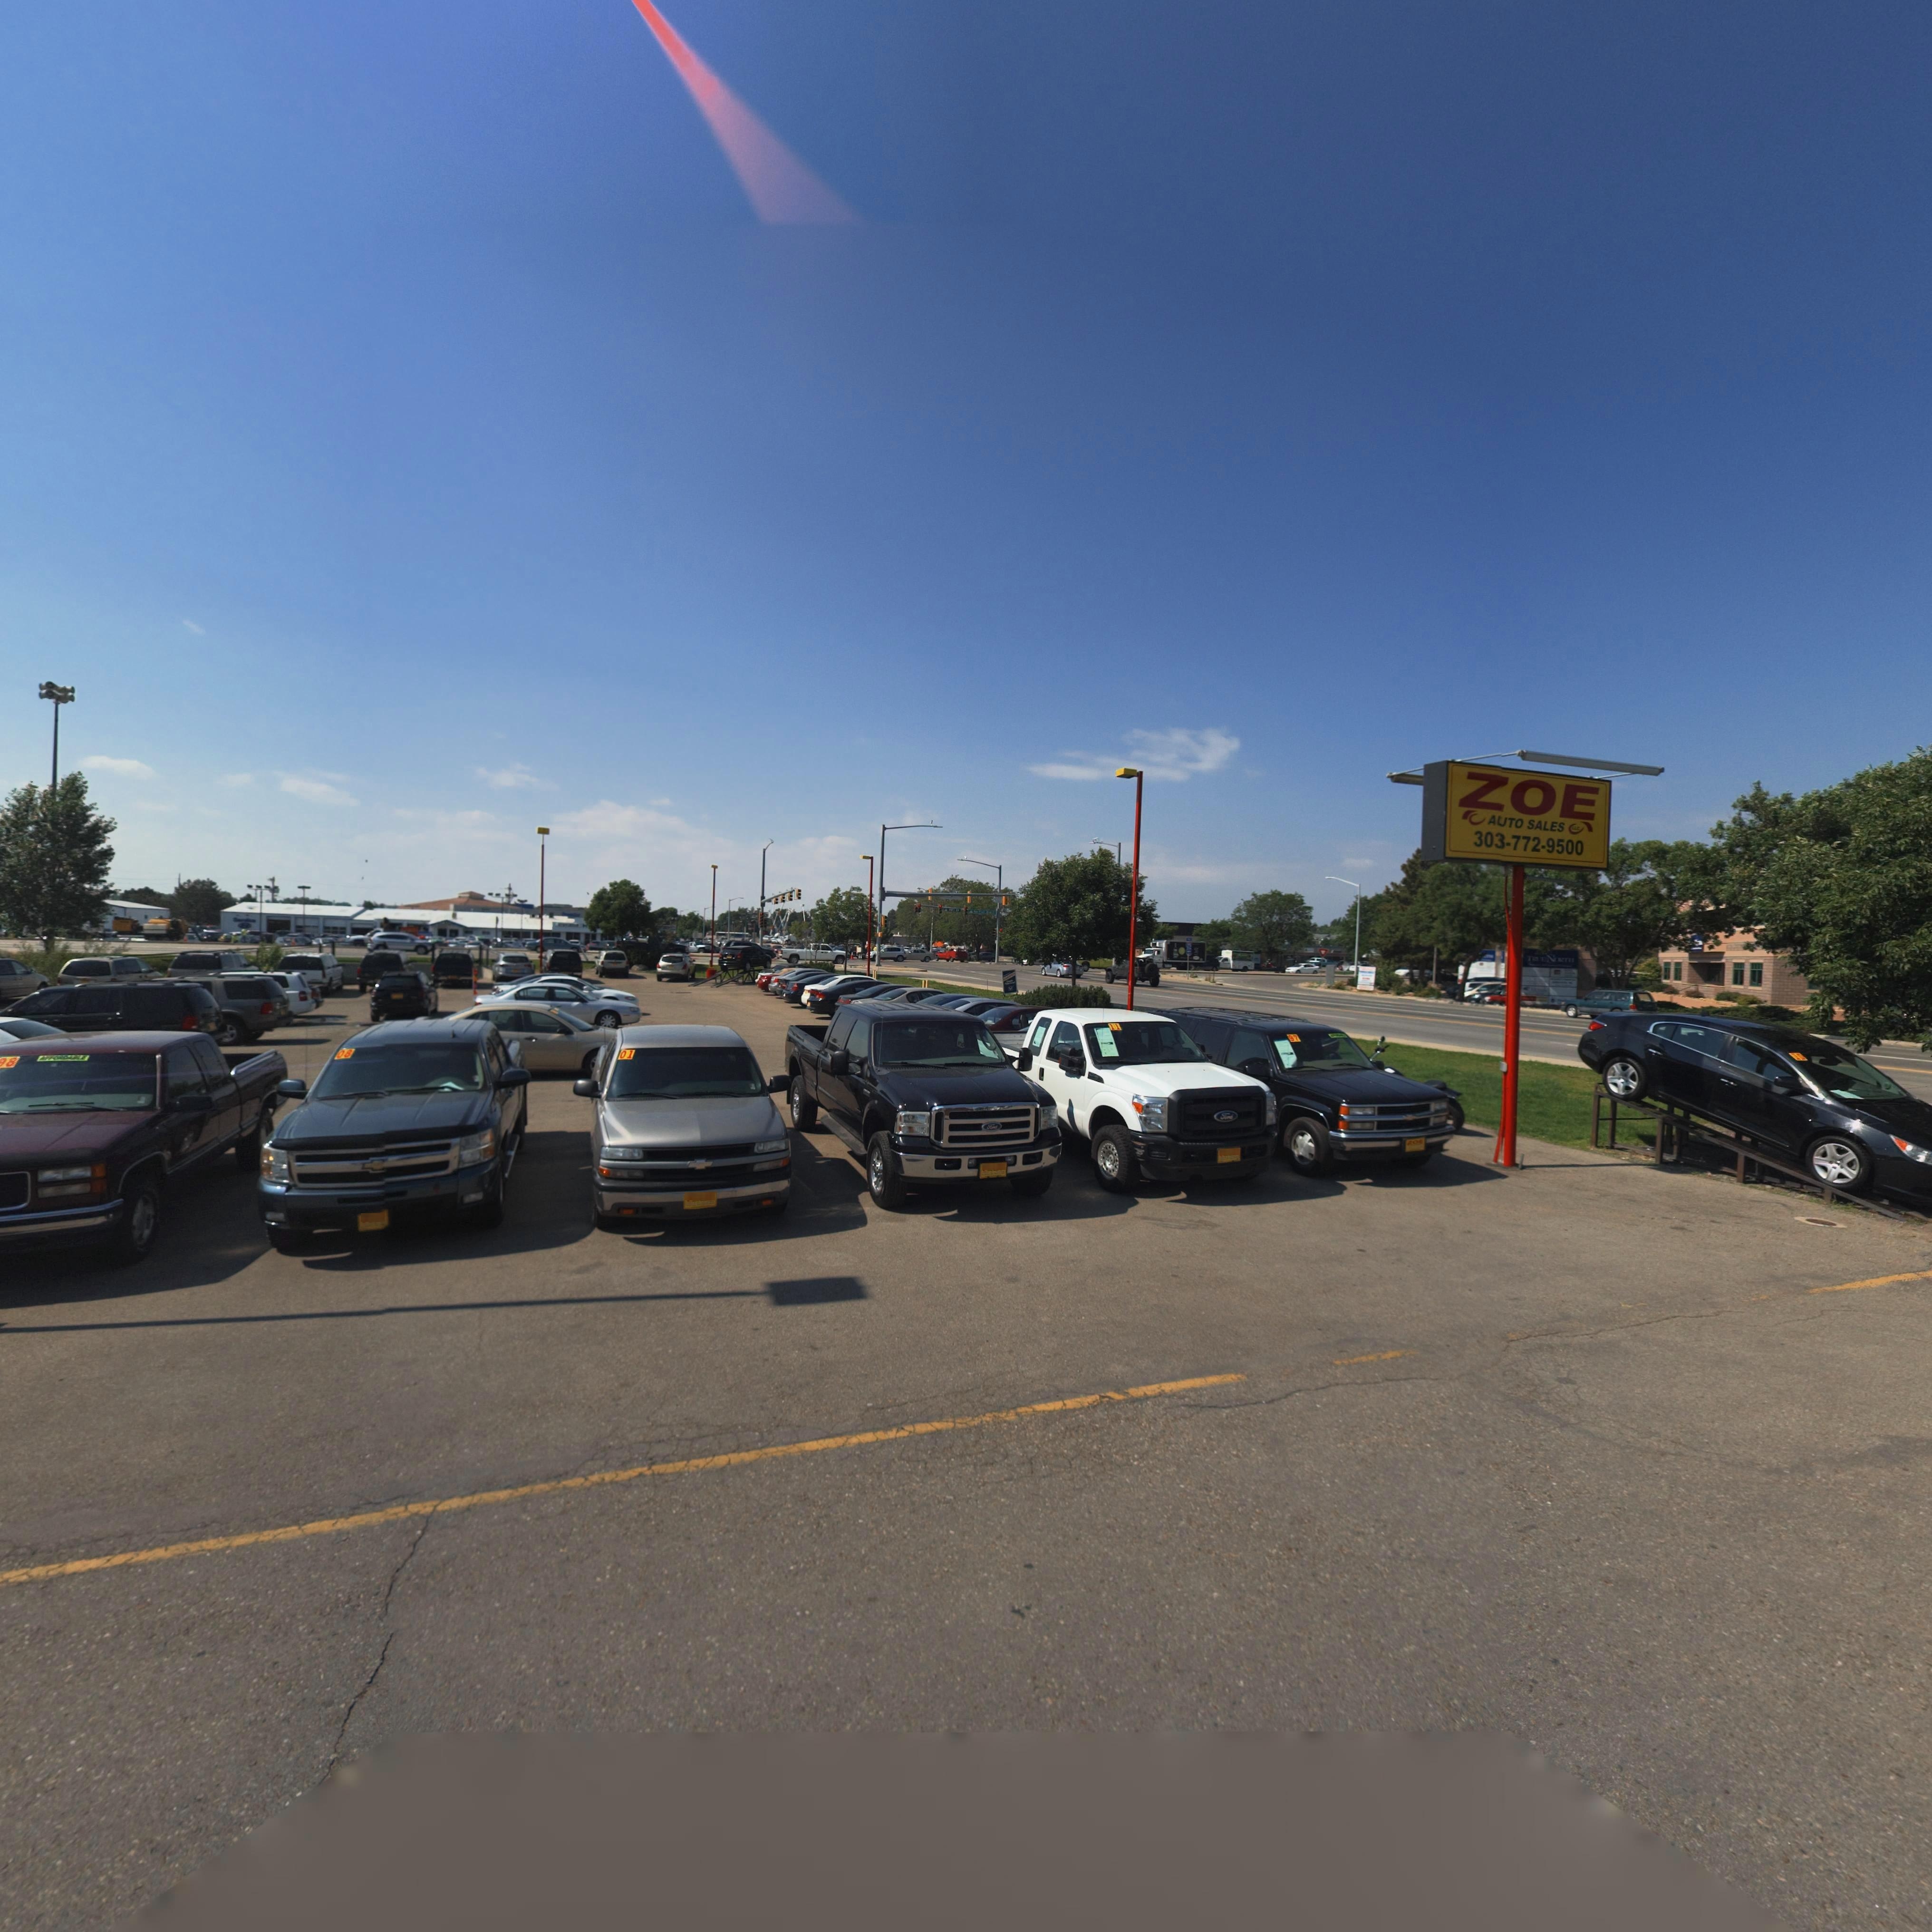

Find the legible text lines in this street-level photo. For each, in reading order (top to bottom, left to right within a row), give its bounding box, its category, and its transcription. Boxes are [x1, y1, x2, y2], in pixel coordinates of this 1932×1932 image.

[1456, 770, 1601, 822] BusinessName: ZOE
[1487, 813, 1566, 833] BusinessName: AUTO SALES